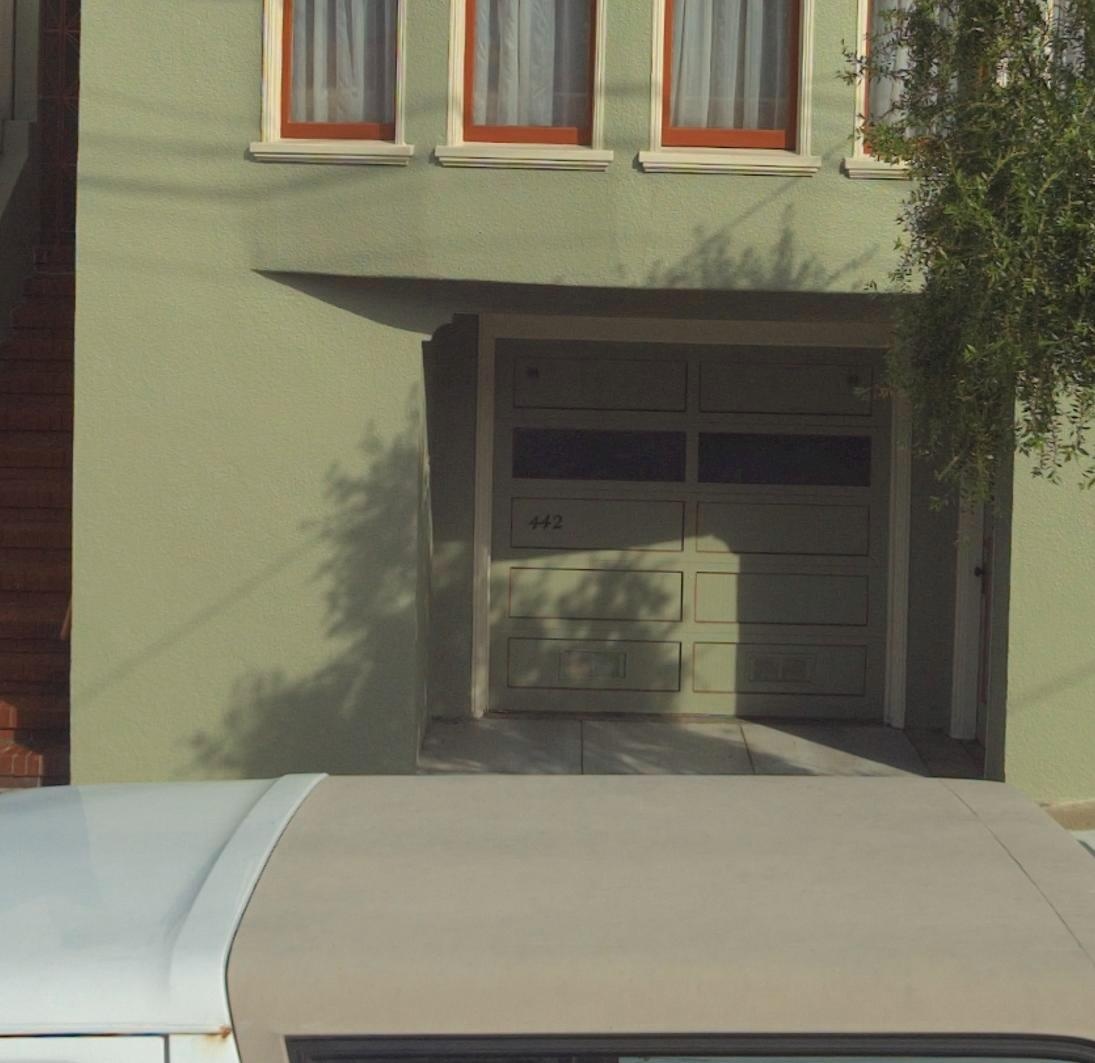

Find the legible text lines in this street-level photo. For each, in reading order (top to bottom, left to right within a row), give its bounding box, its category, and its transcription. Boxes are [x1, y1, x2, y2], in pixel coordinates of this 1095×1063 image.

[528, 512, 564, 531] StreetNumber: 442